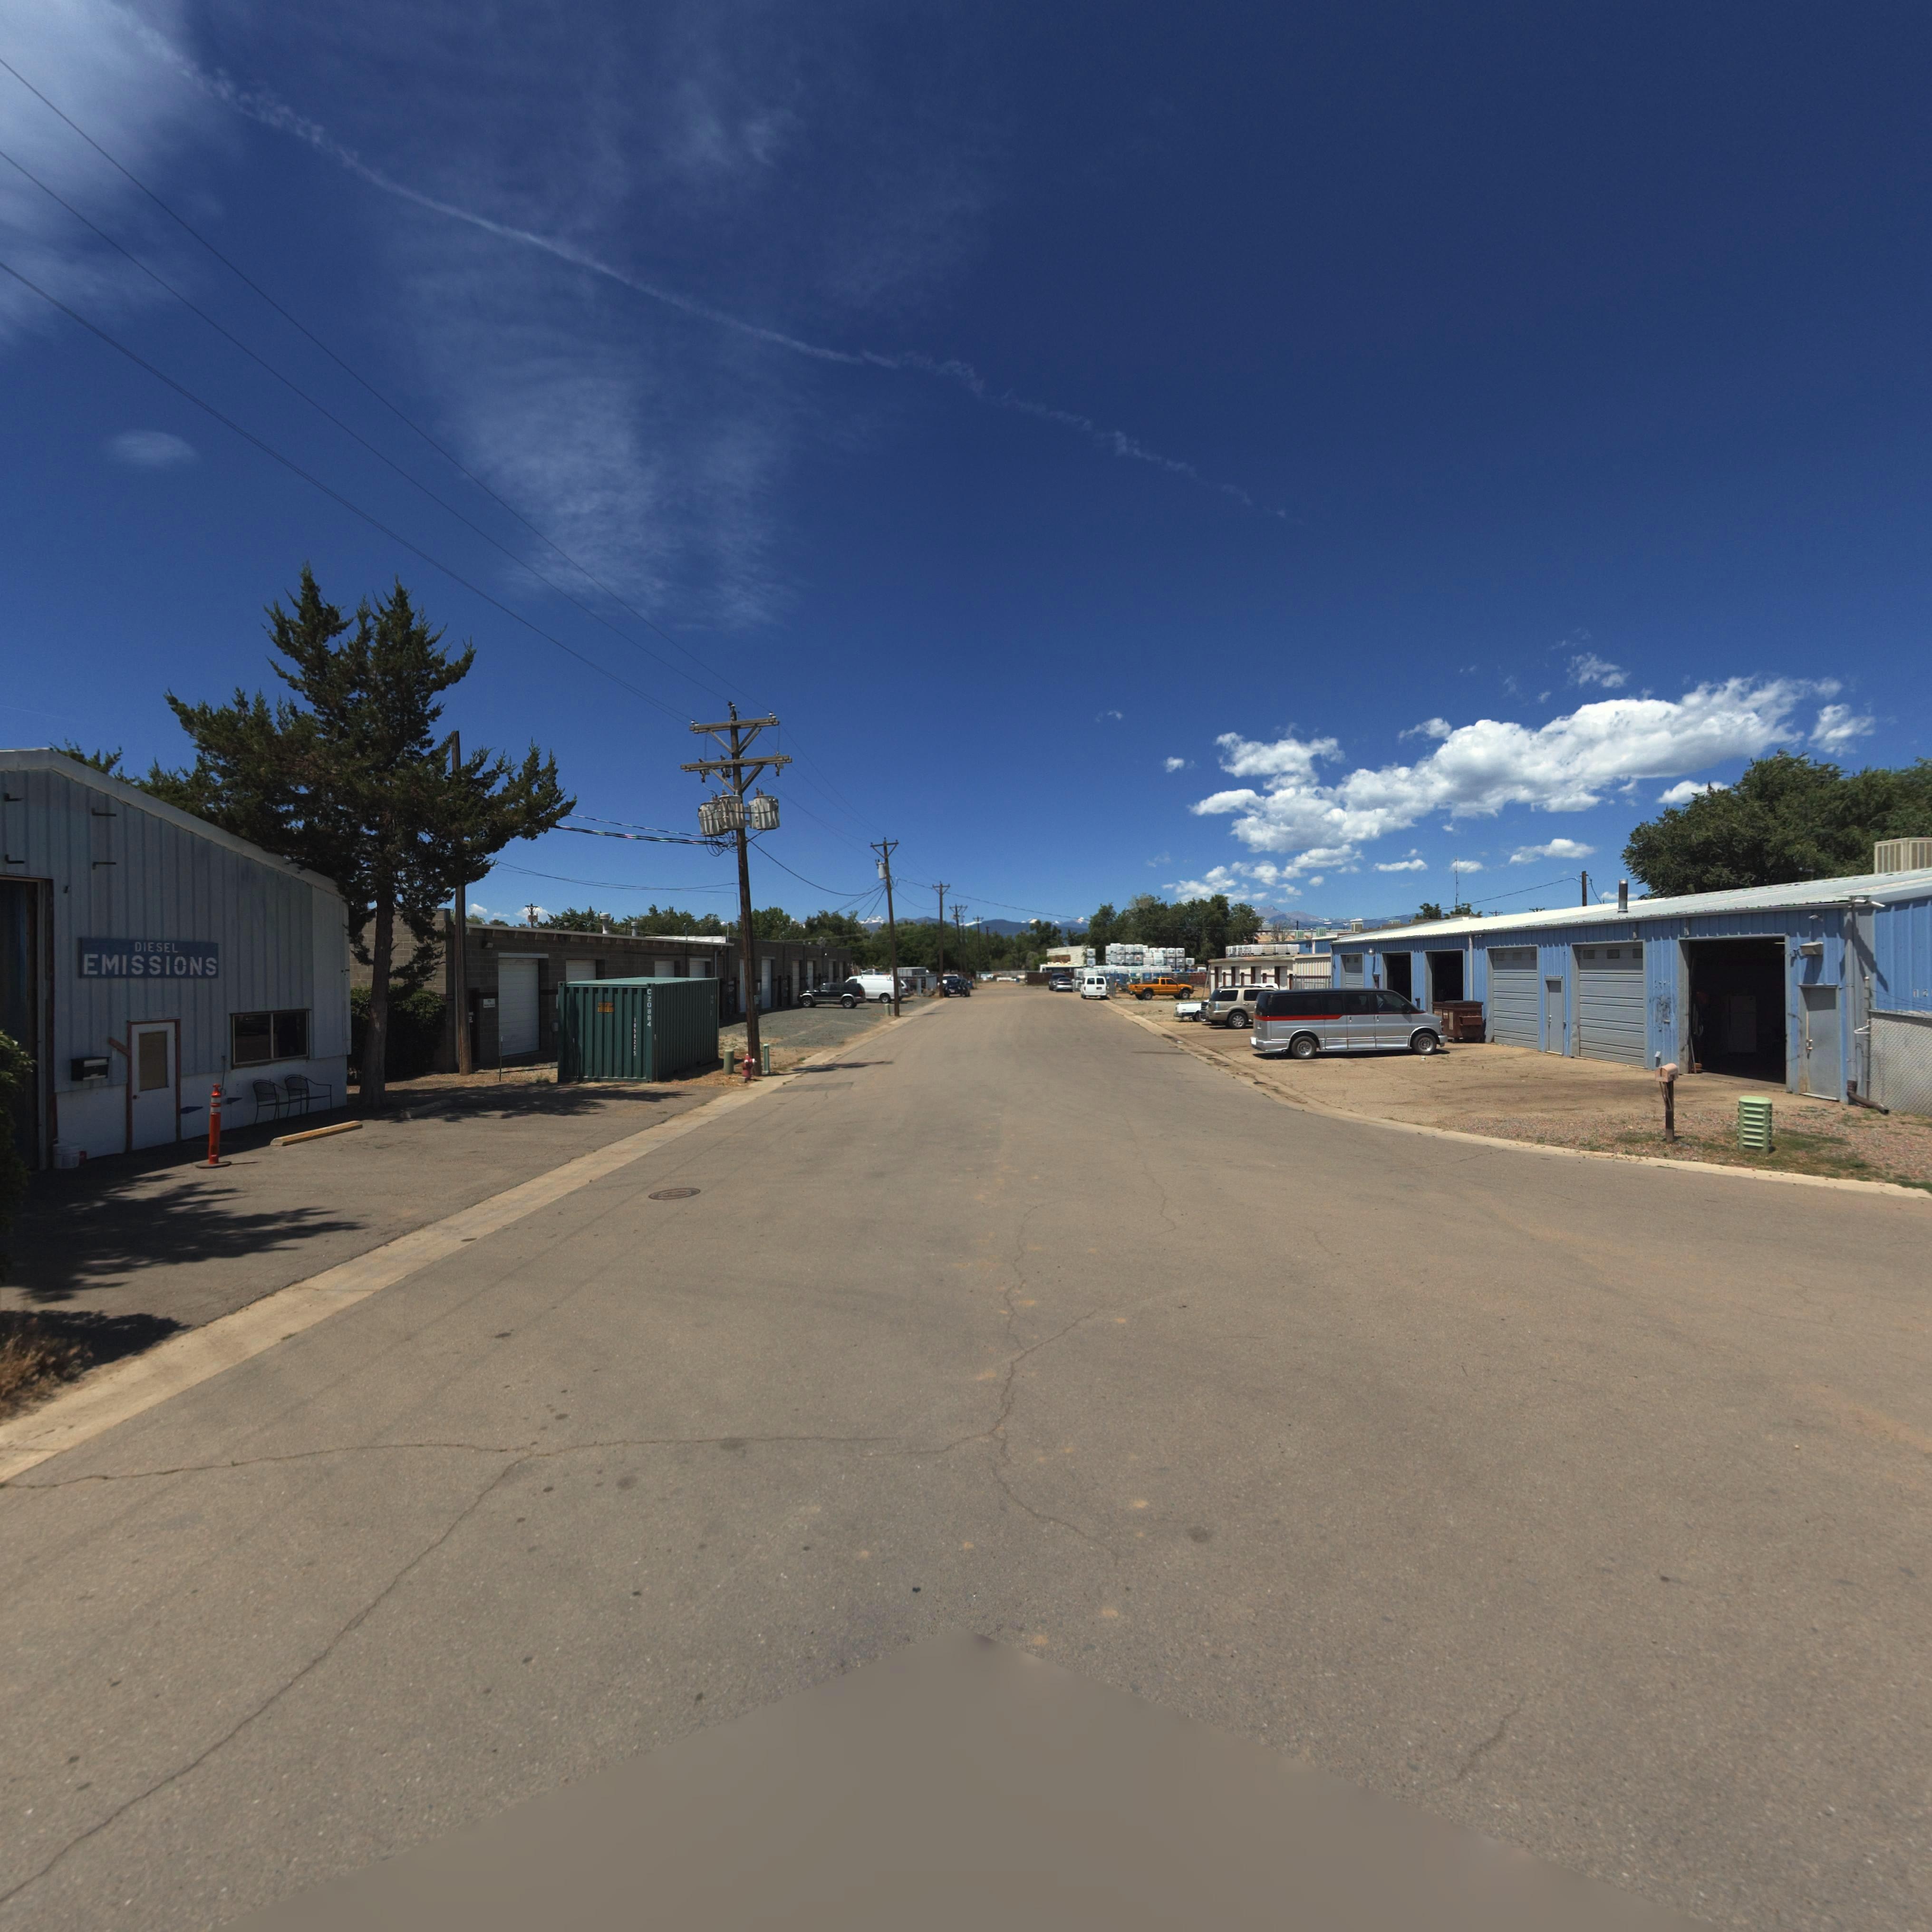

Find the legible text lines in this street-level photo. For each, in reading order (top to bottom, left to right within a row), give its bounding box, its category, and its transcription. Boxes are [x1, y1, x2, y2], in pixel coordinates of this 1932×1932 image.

[134, 940, 179, 953] BusinessName: DIESEL
[82, 953, 217, 976] BusinessName: EMISSIONS